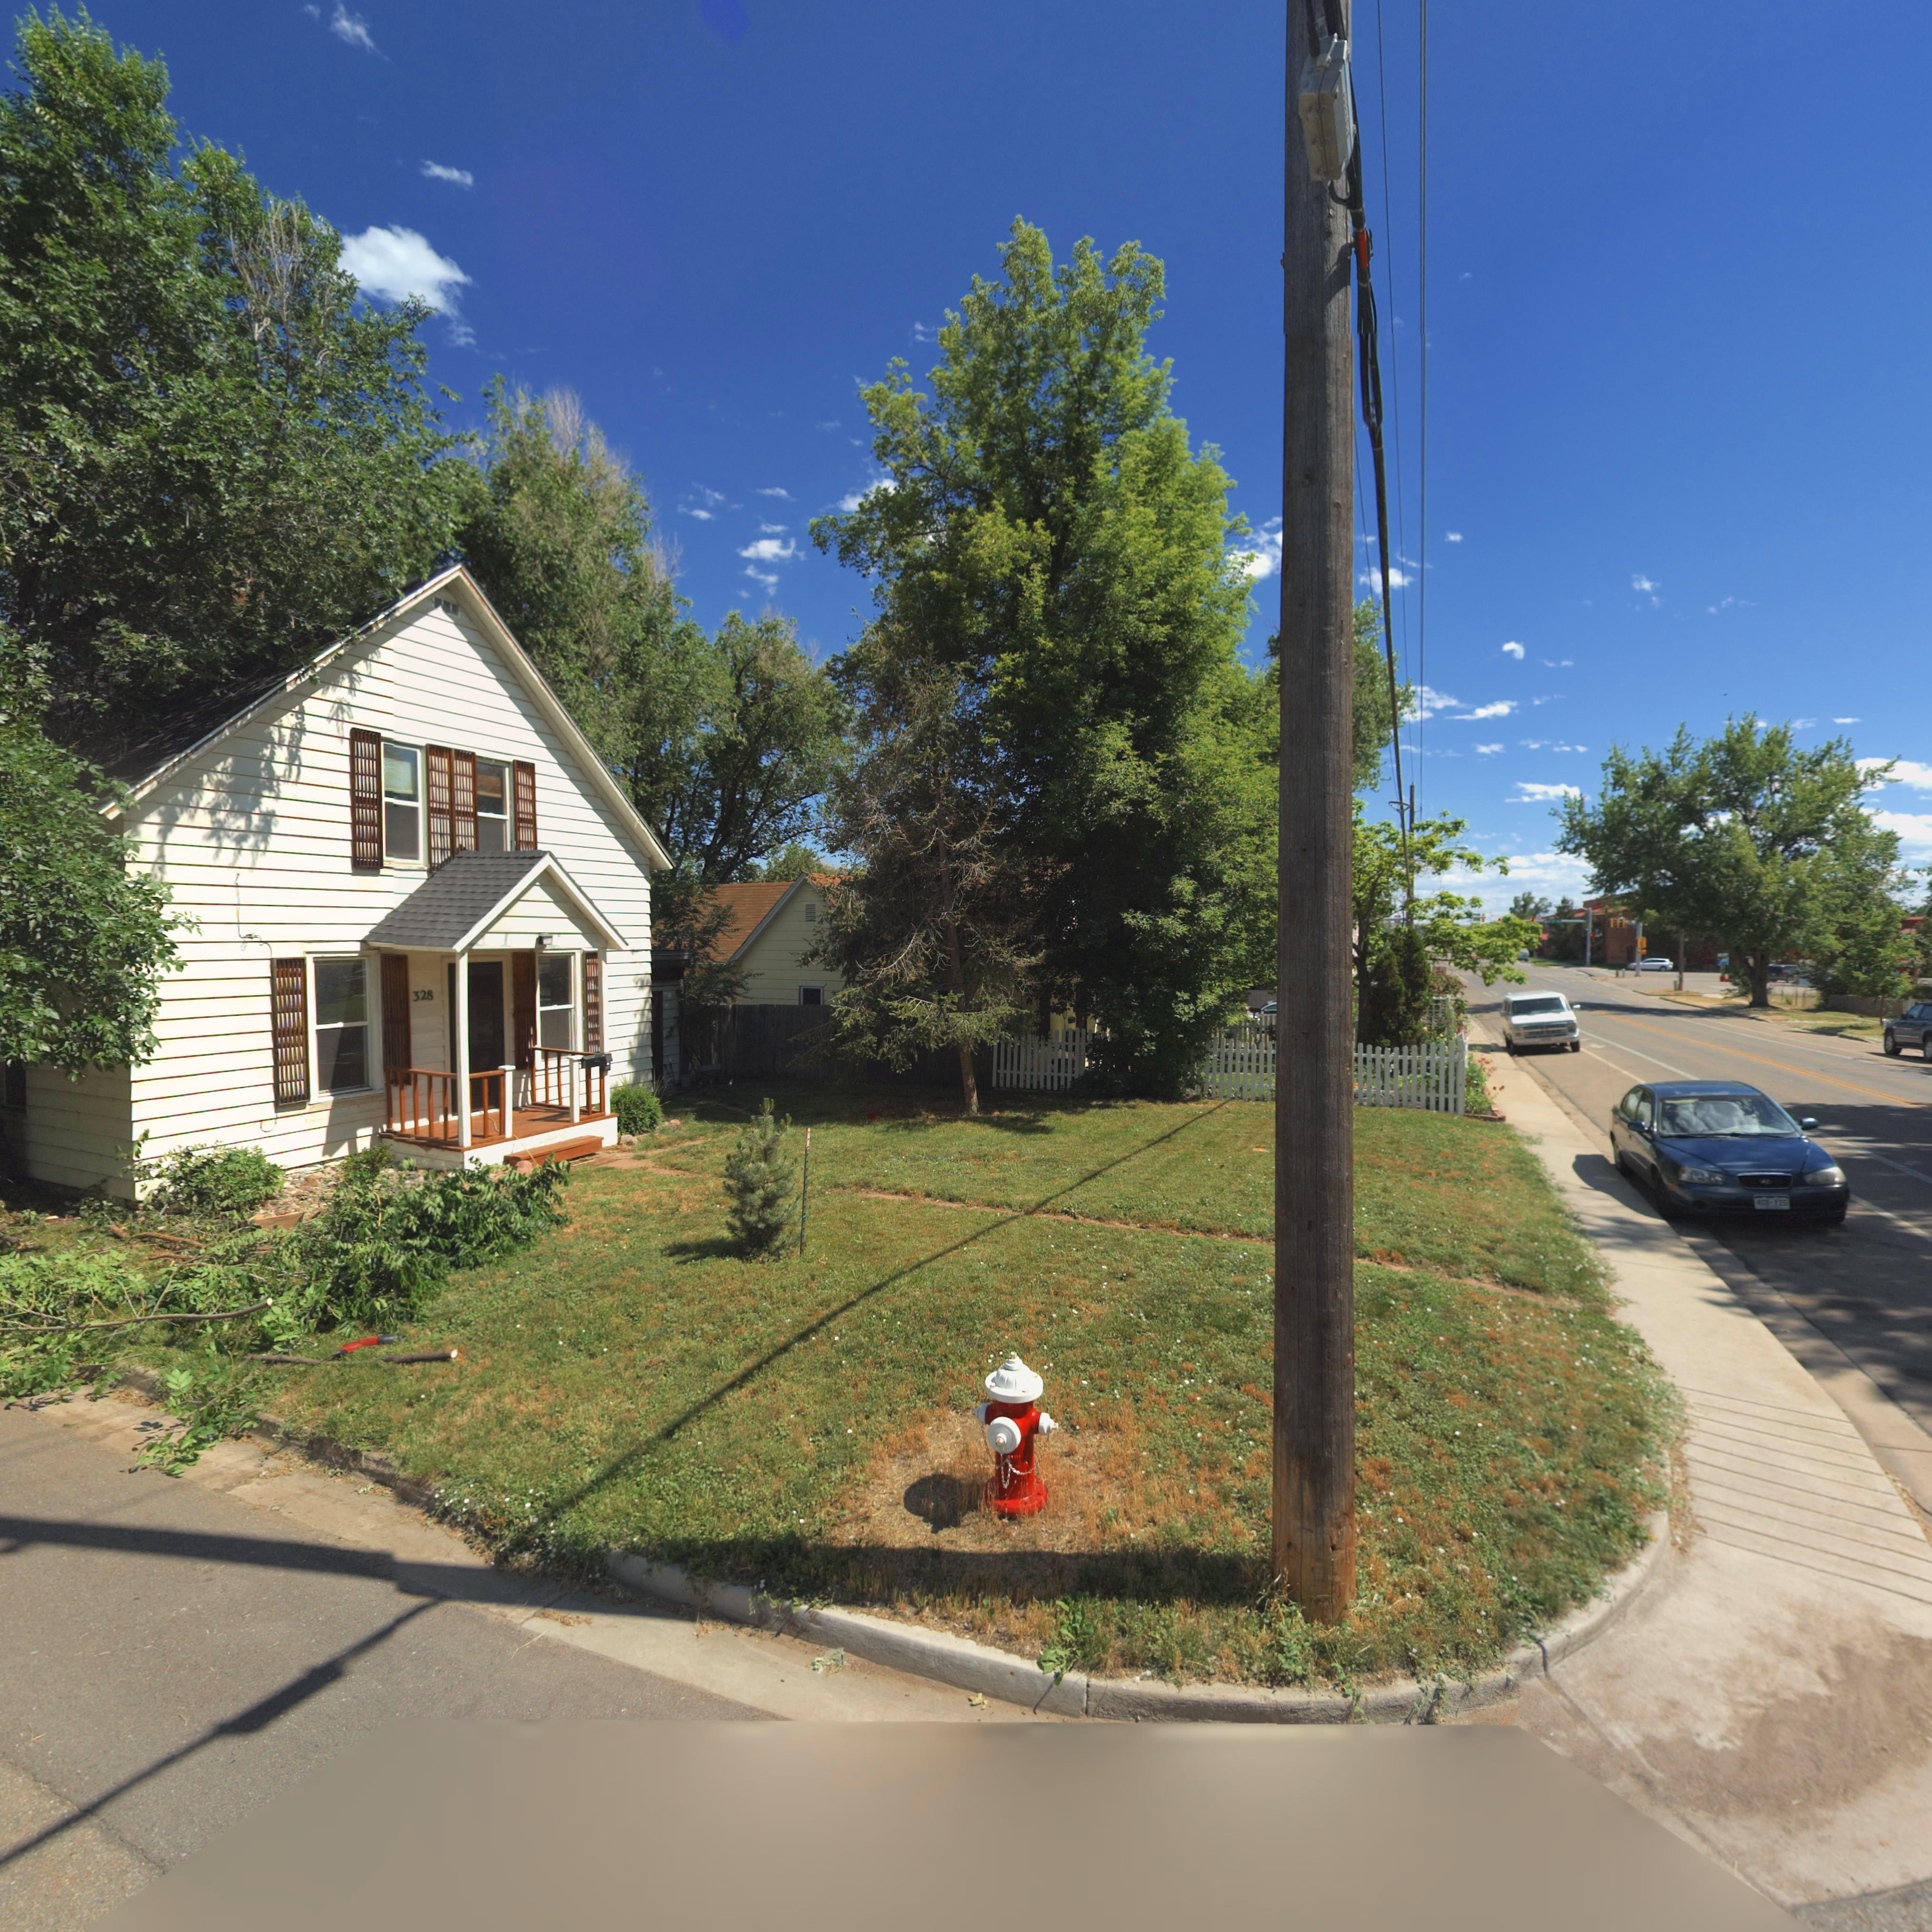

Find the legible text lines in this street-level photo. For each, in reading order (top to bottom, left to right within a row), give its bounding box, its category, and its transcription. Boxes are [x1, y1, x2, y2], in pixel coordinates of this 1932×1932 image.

[412, 989, 434, 1002] StreetNumber: 328